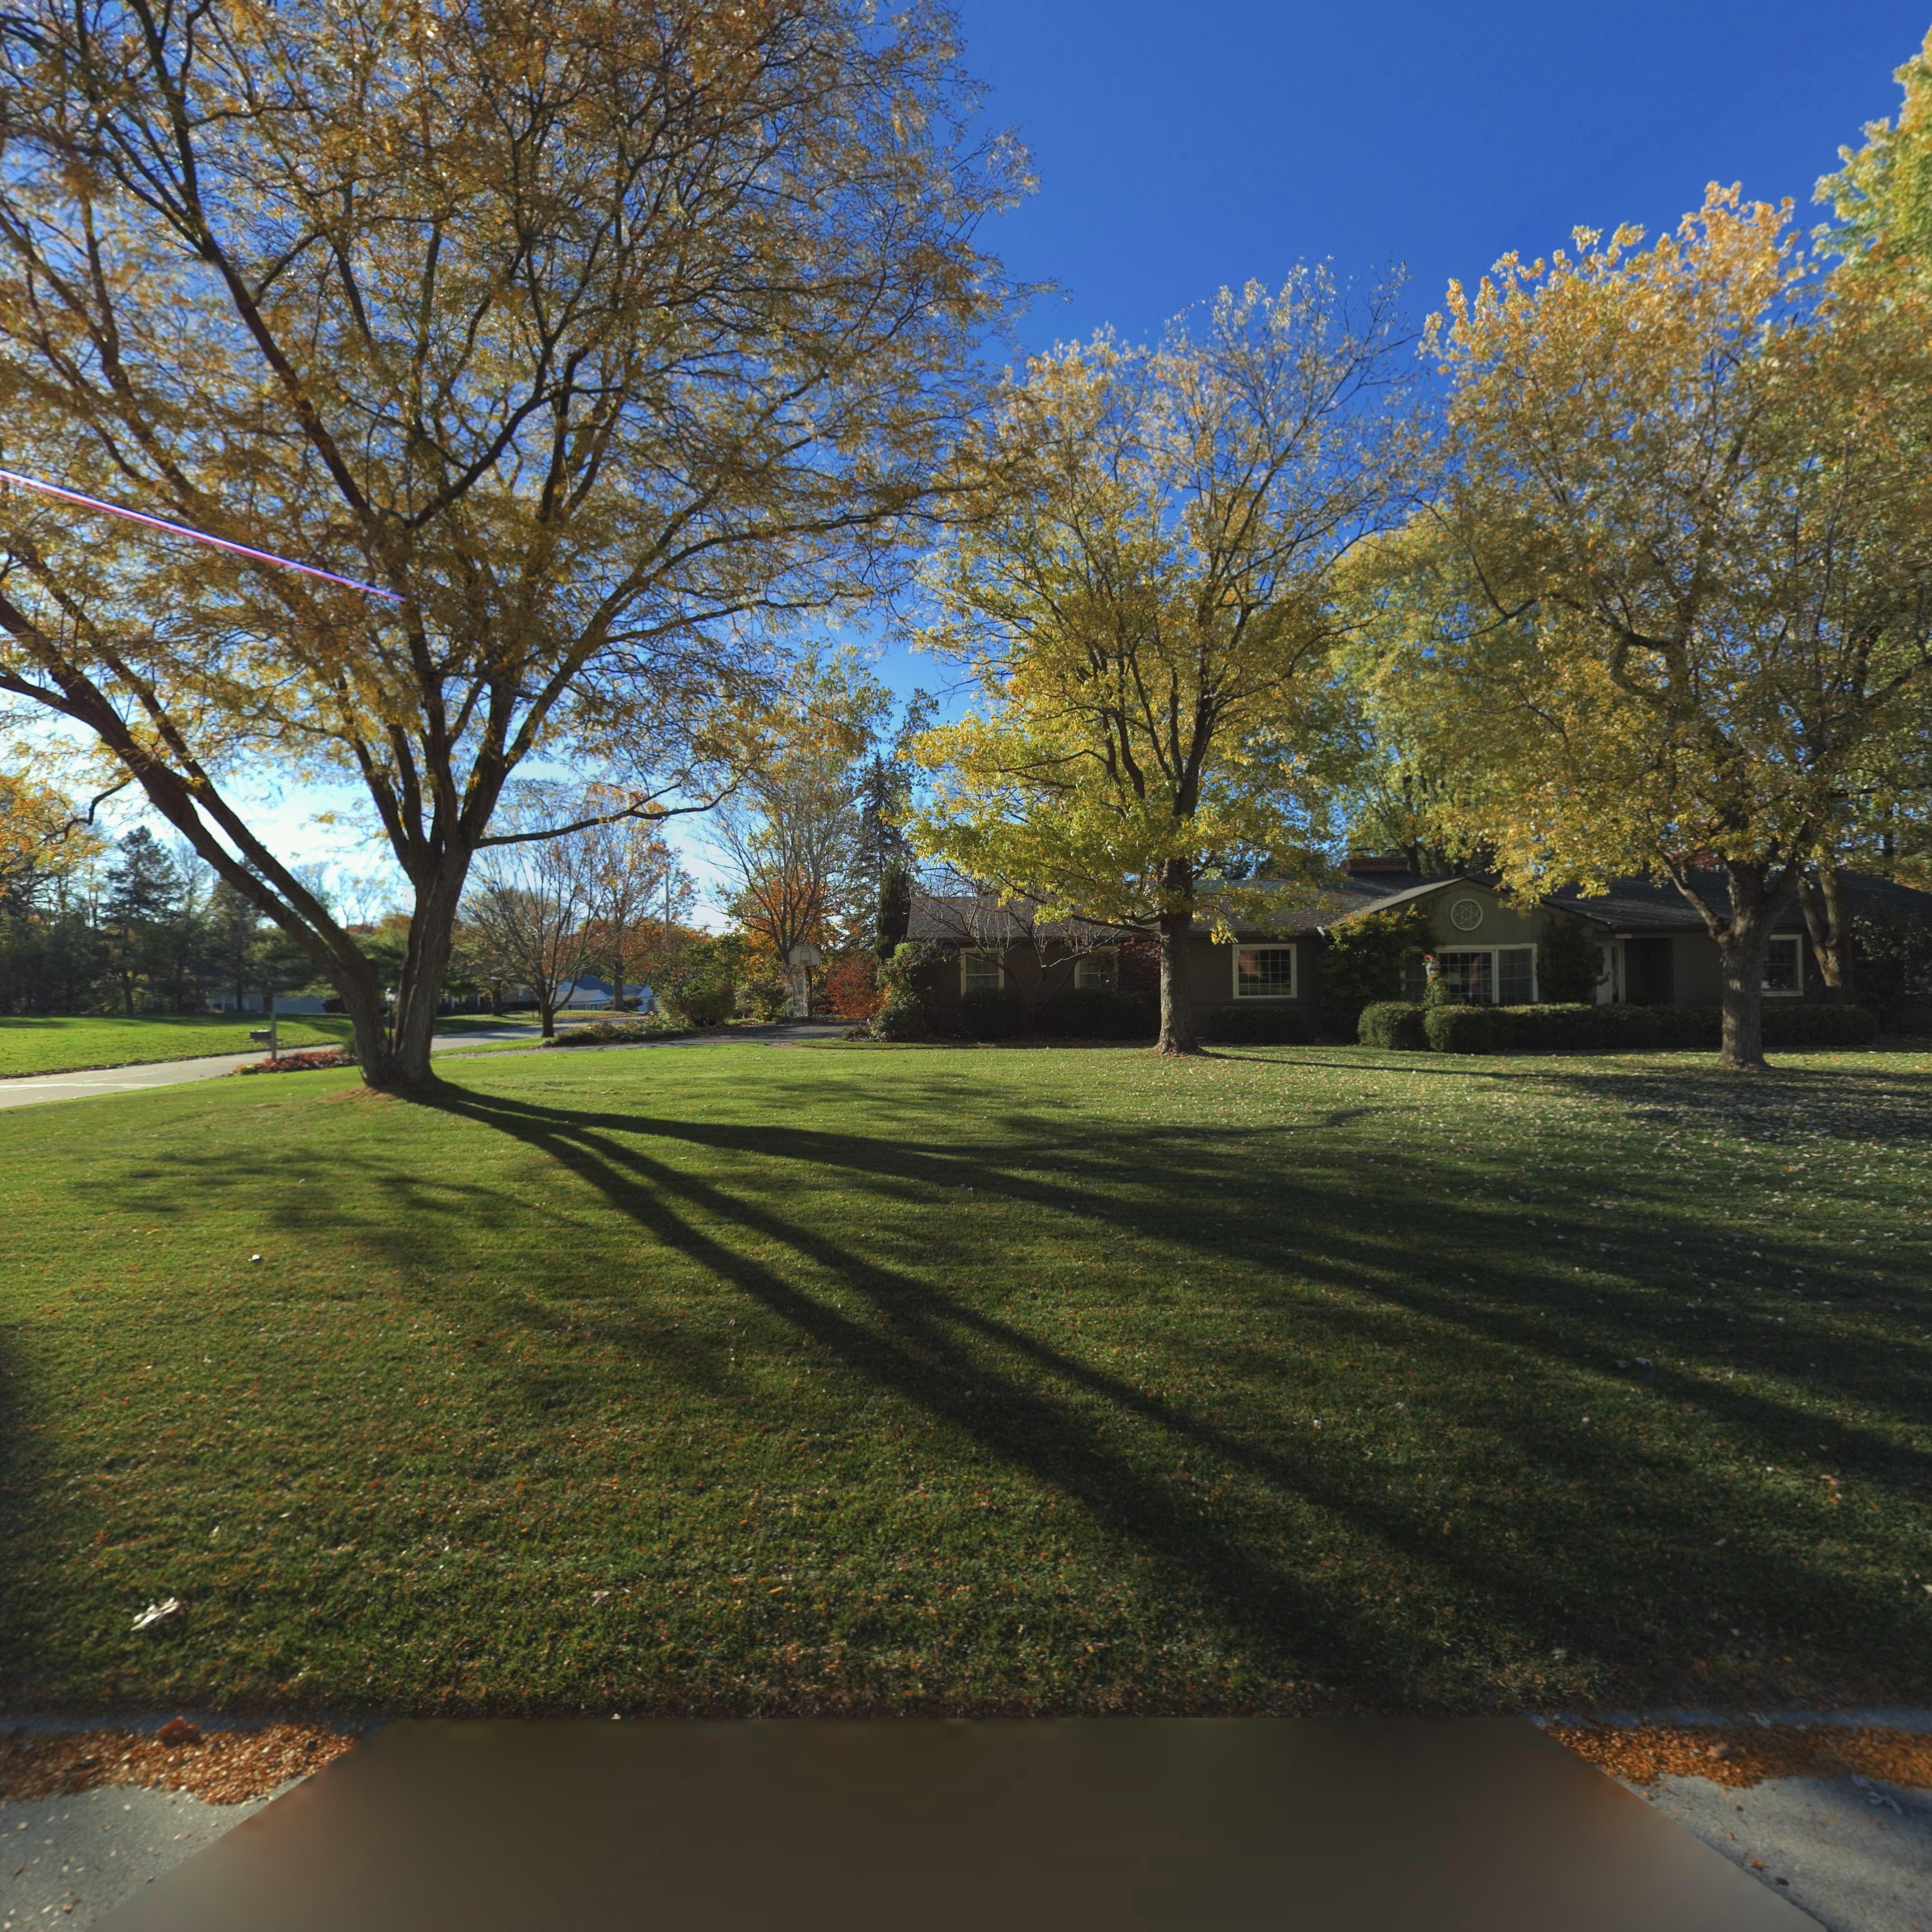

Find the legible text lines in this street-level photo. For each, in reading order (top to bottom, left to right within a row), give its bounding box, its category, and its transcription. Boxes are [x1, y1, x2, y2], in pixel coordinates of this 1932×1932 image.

[1615, 934, 1633, 938] StreetNumber: 5845